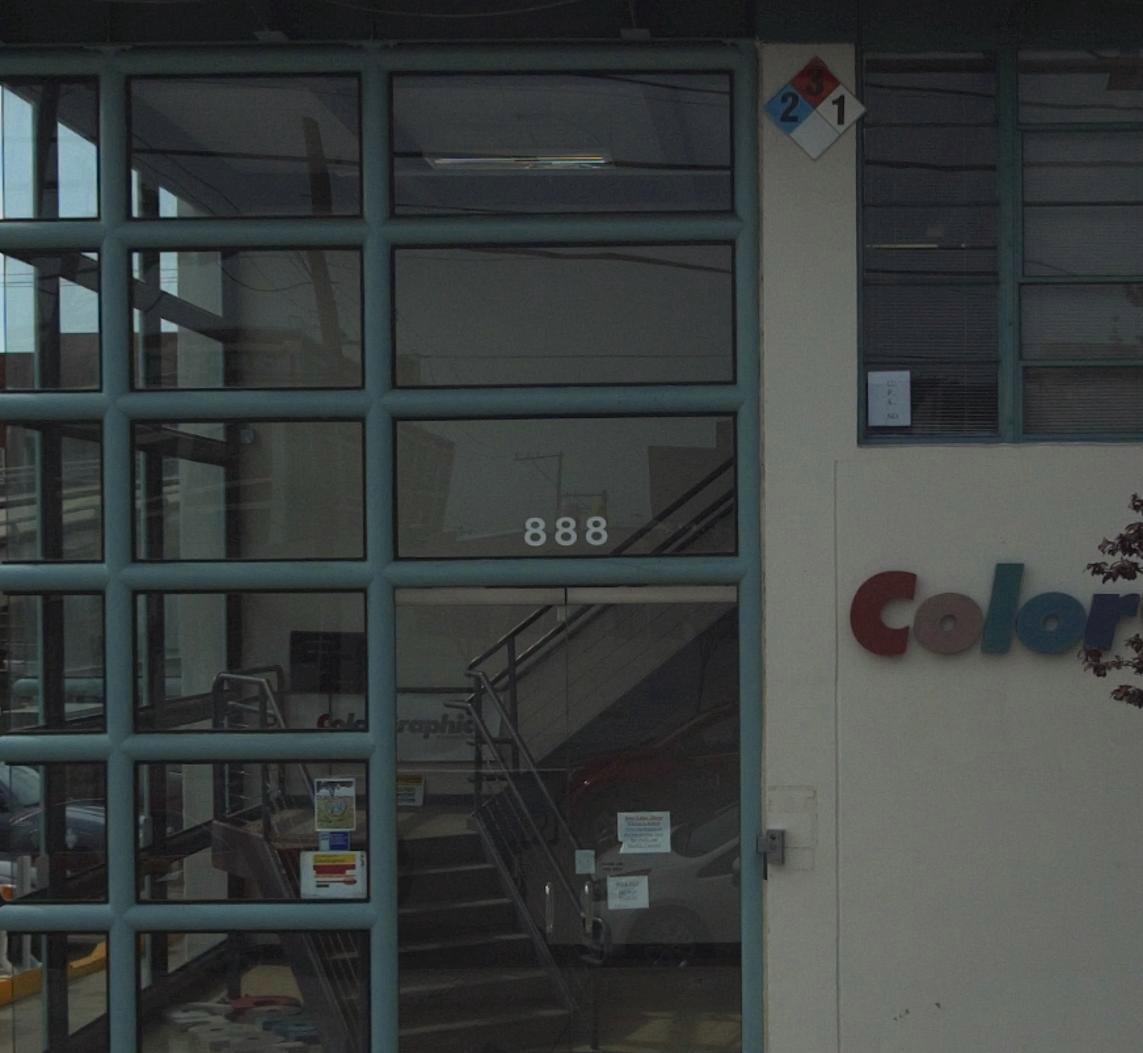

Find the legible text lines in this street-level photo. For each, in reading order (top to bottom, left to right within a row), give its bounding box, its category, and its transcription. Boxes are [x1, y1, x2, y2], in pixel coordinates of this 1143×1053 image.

[805, 65, 824, 96] None: 3
[780, 91, 799, 122] None: 2
[830, 92, 845, 125] None: 1
[523, 513, 609, 548] StreetNumber: 888
[849, 561, 1142, 660] BusinessName: Color
[395, 712, 479, 740] None: raphic